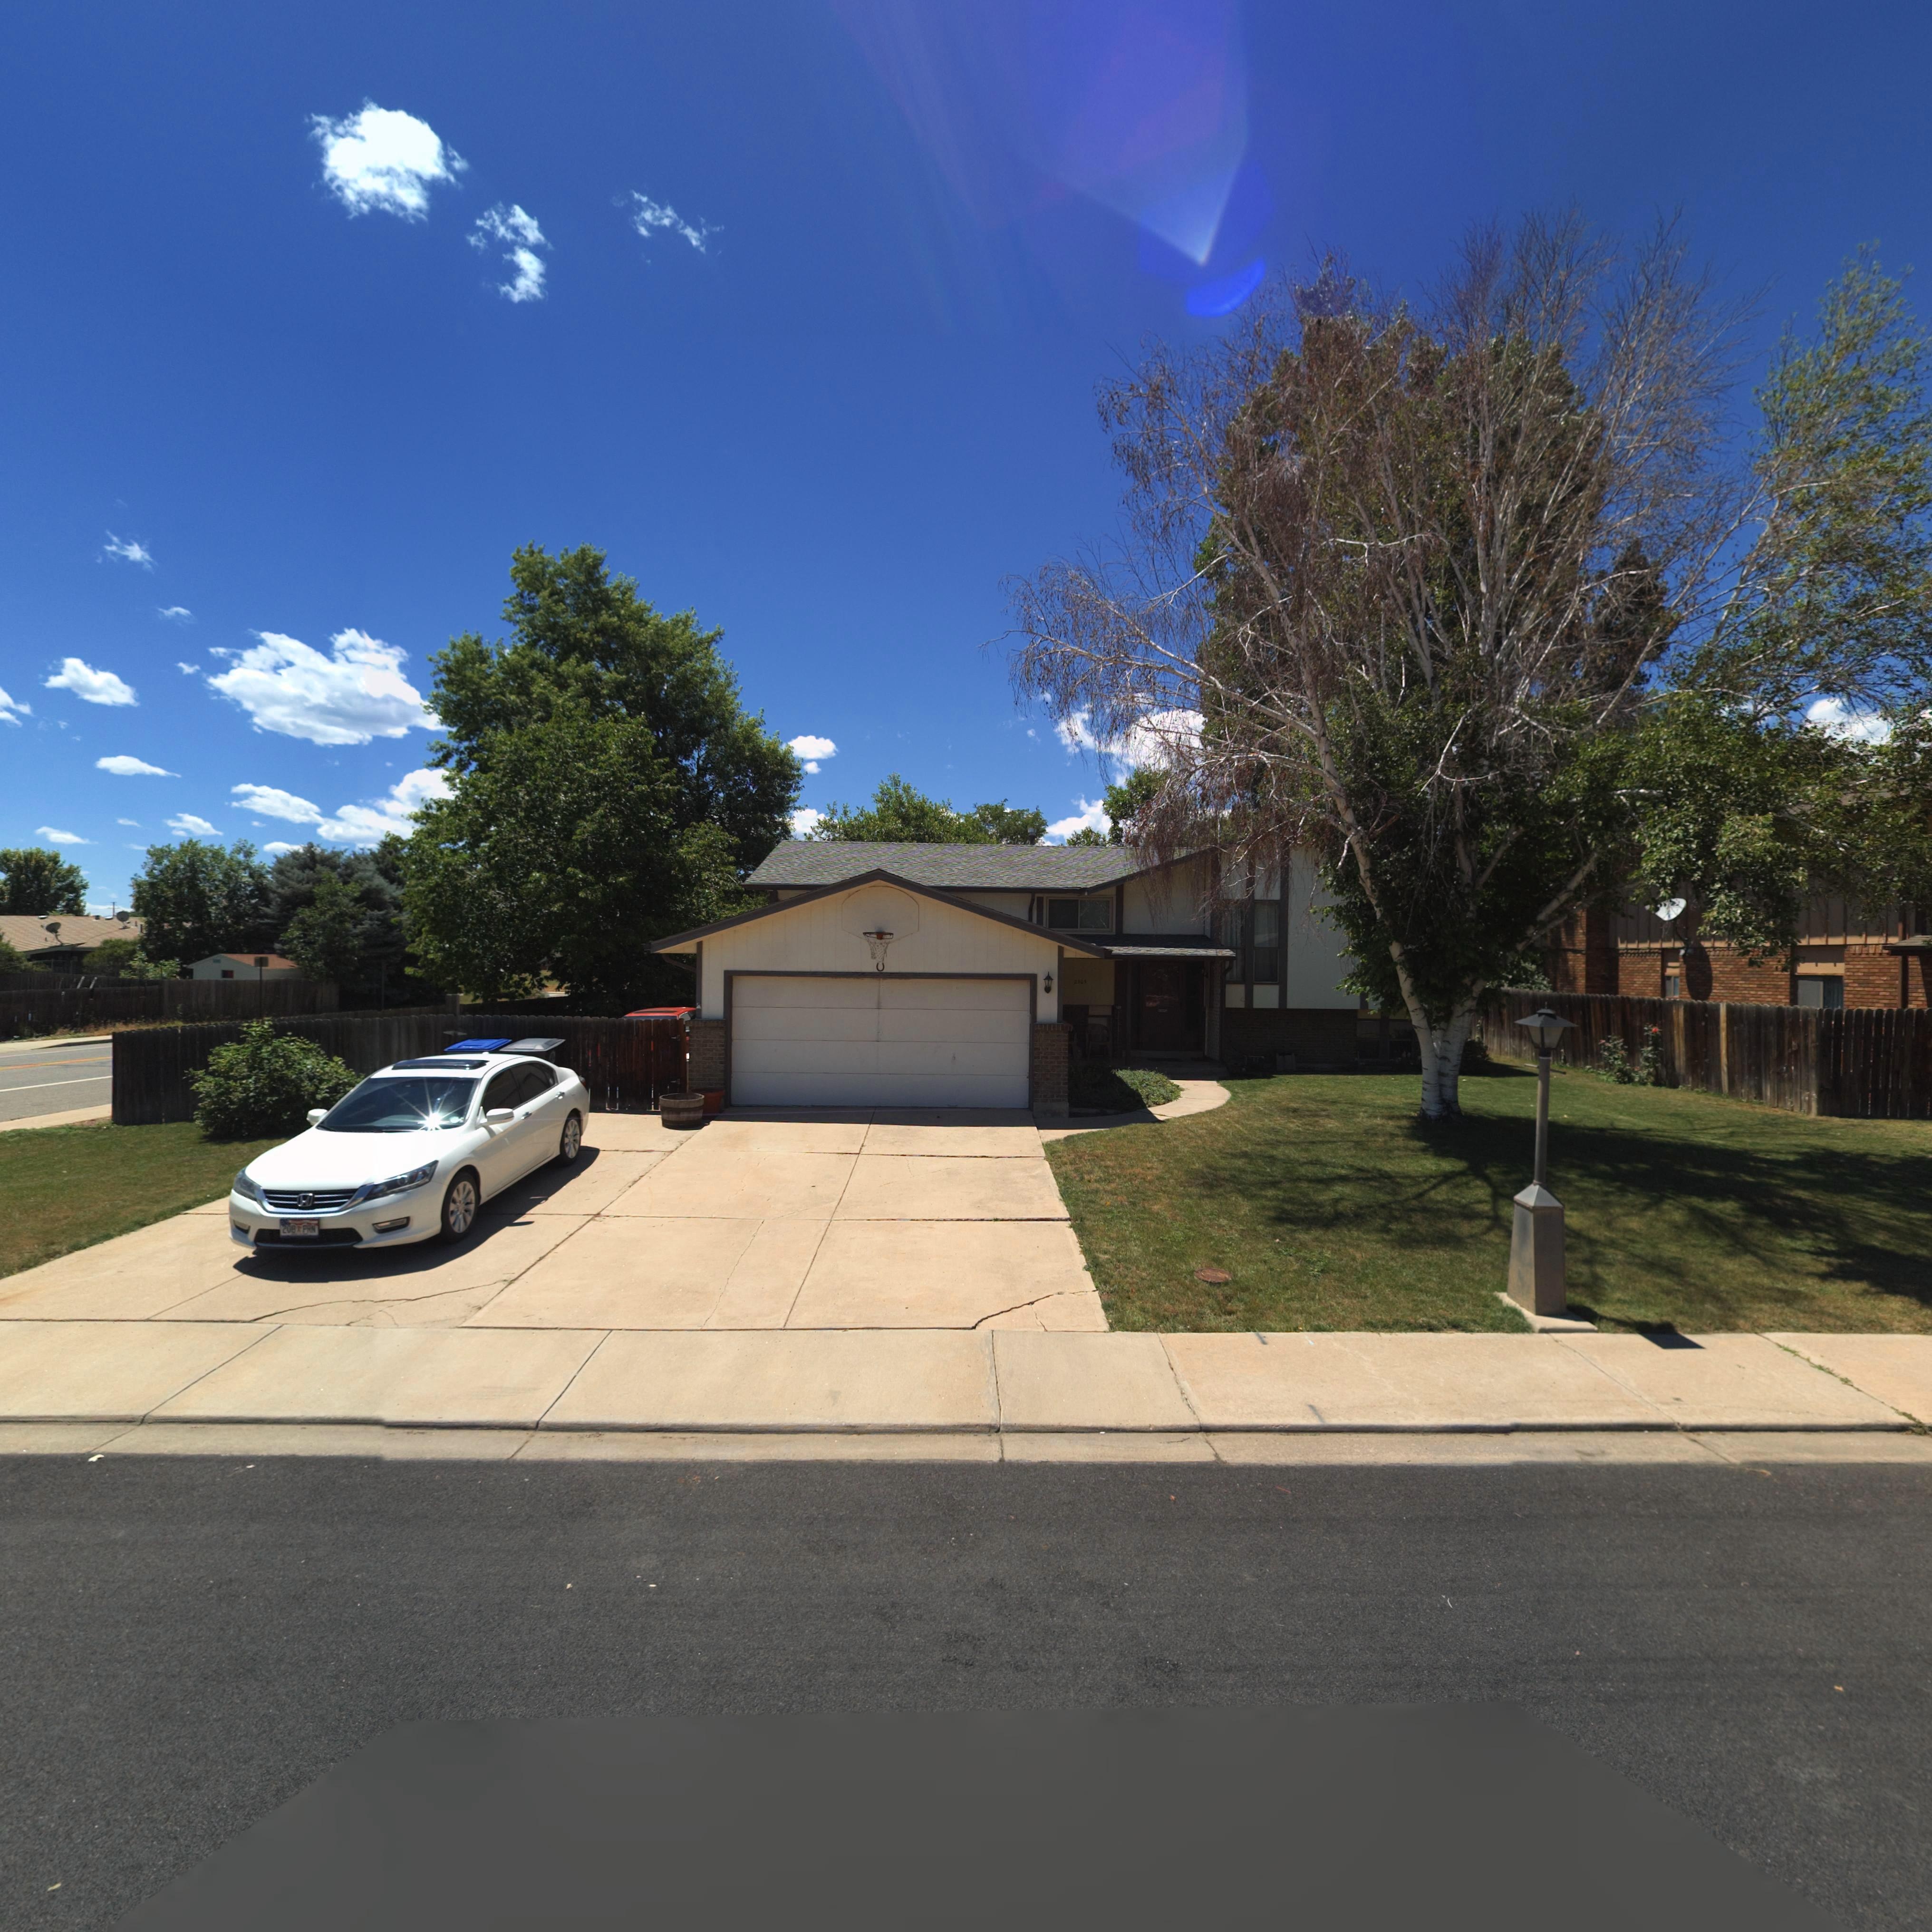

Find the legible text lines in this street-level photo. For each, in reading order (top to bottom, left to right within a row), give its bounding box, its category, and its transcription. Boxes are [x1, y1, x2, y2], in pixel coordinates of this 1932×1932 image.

[1073, 979, 1087, 984] StreetNumber: 2305